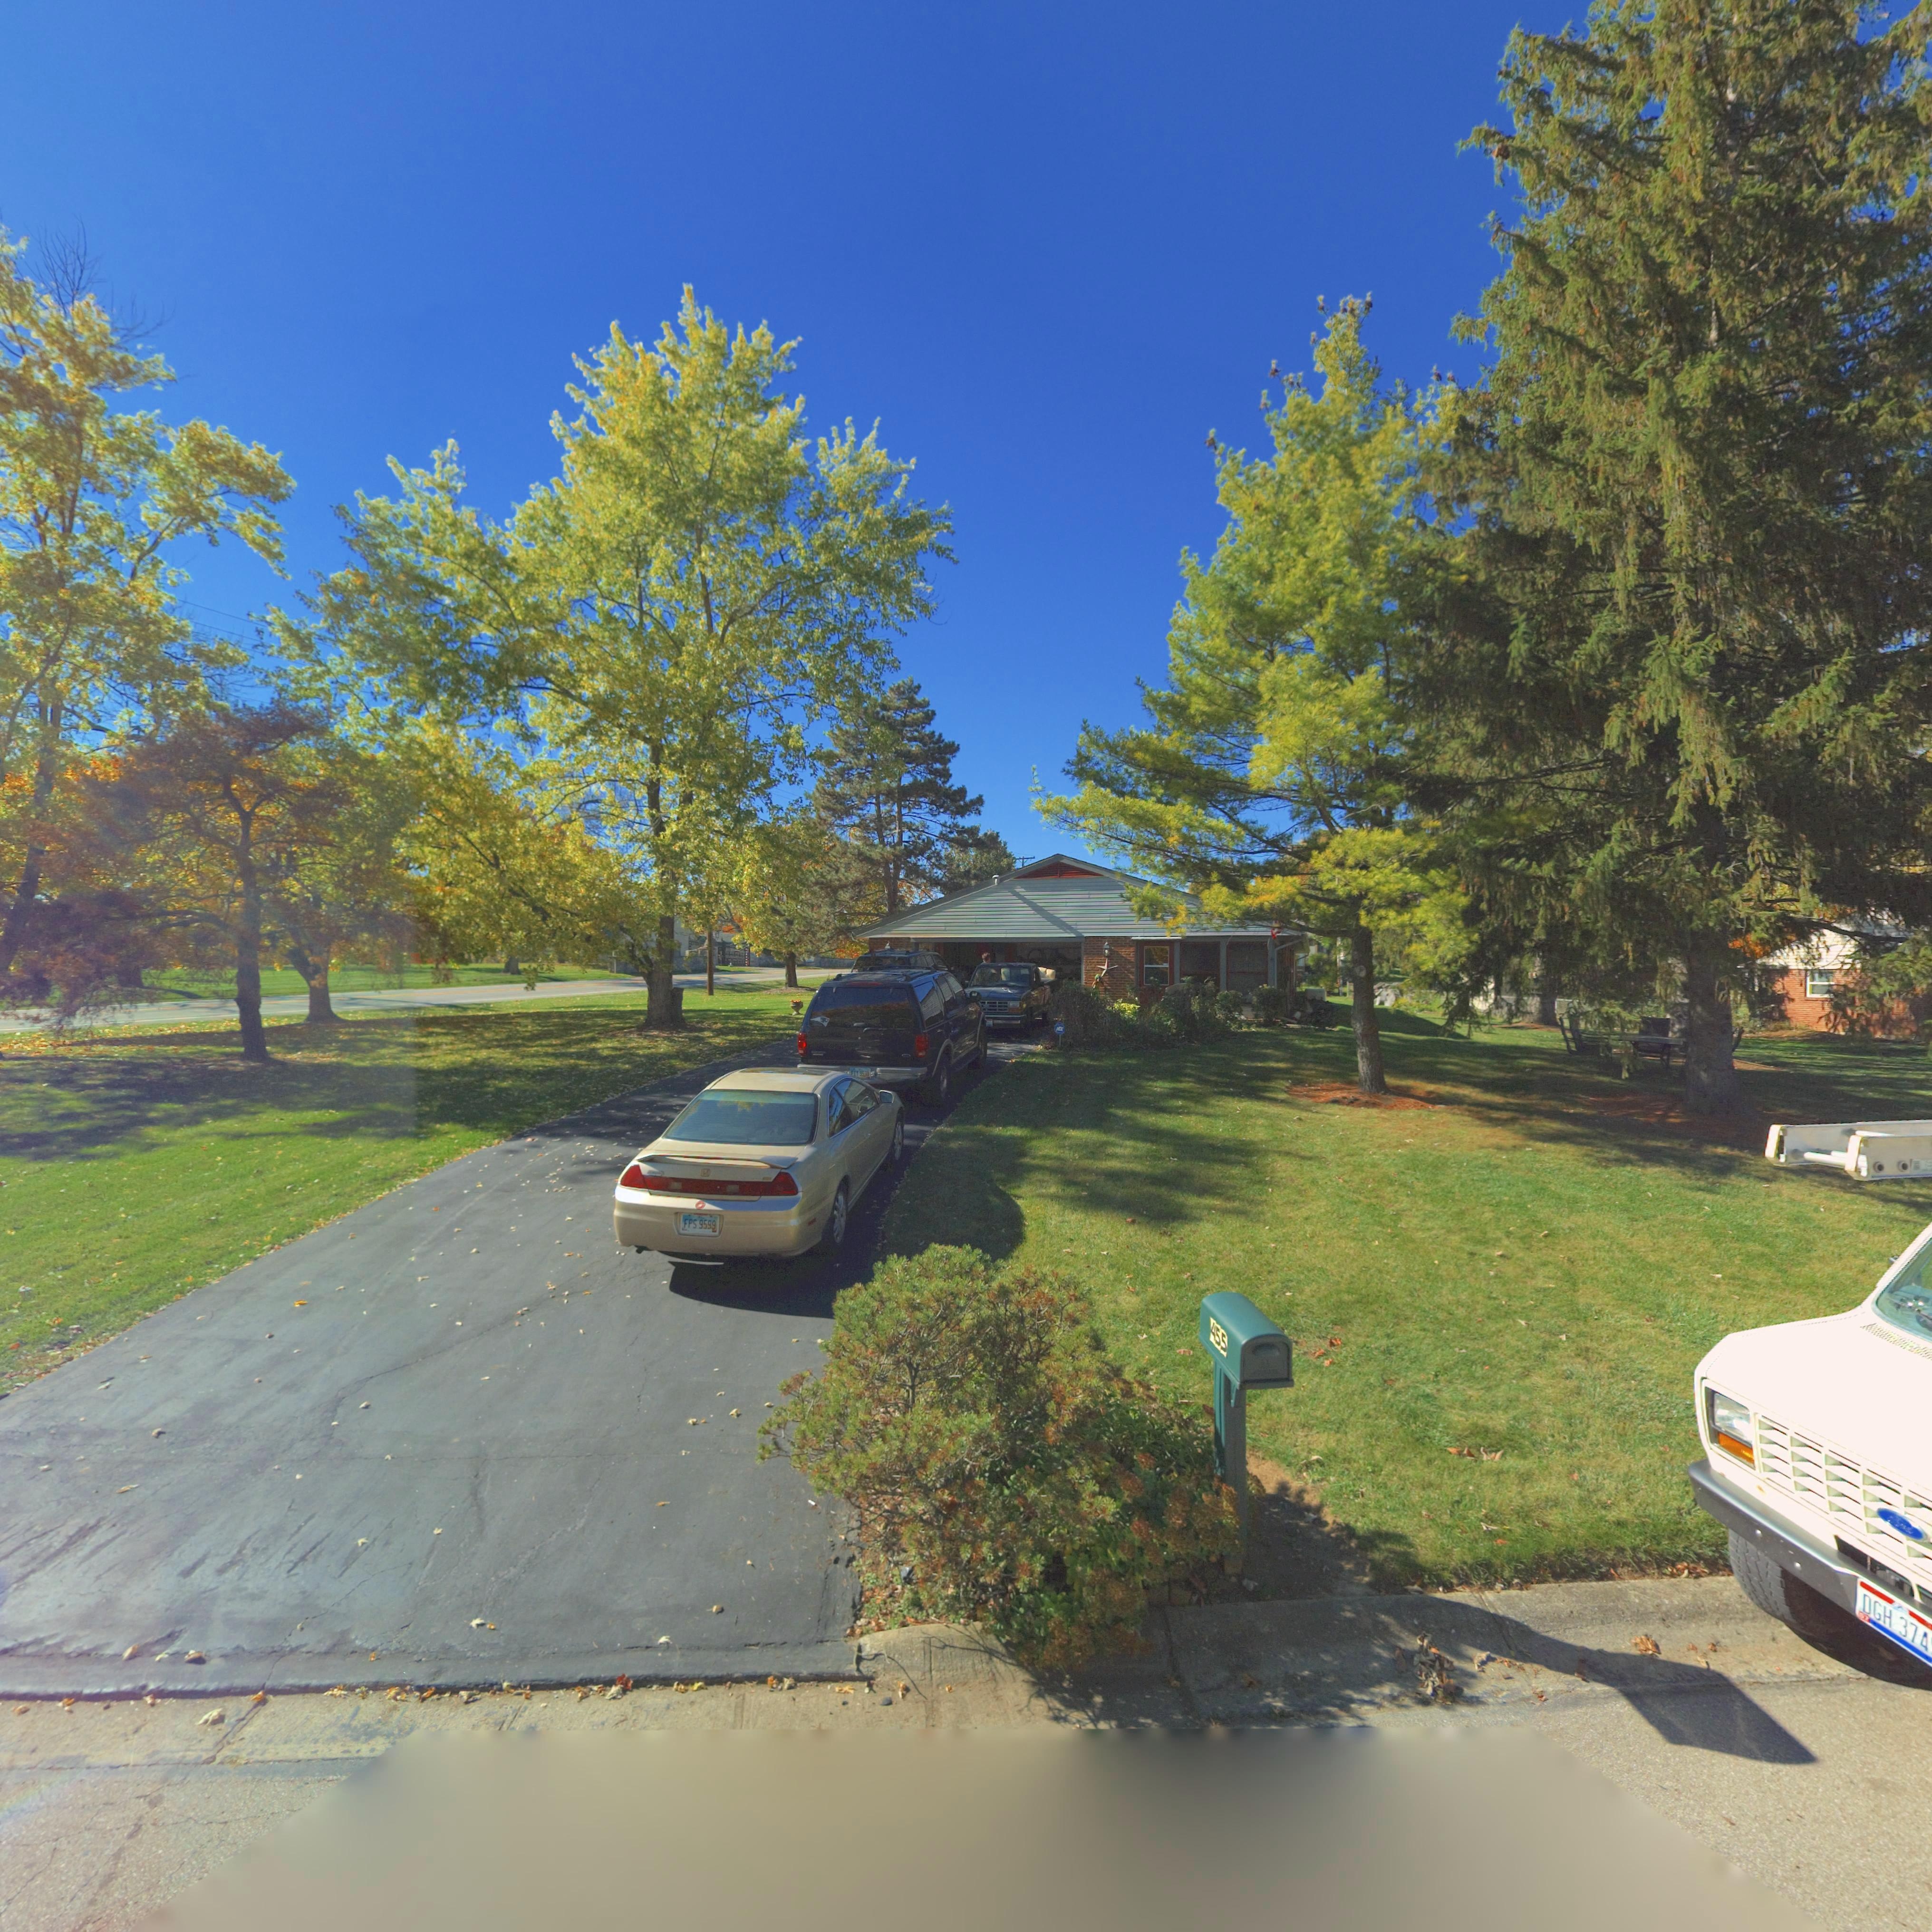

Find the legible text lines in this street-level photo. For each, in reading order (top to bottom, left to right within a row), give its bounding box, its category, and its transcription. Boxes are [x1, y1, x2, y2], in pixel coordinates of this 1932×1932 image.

[1055, 1025, 1064, 1033] None: ADT
[683, 1218, 716, 1230] None: FPS*9599
[1209, 1321, 1228, 1355] StreetNumber: 455
[1862, 1592, 1930, 1654] None: DGH*374